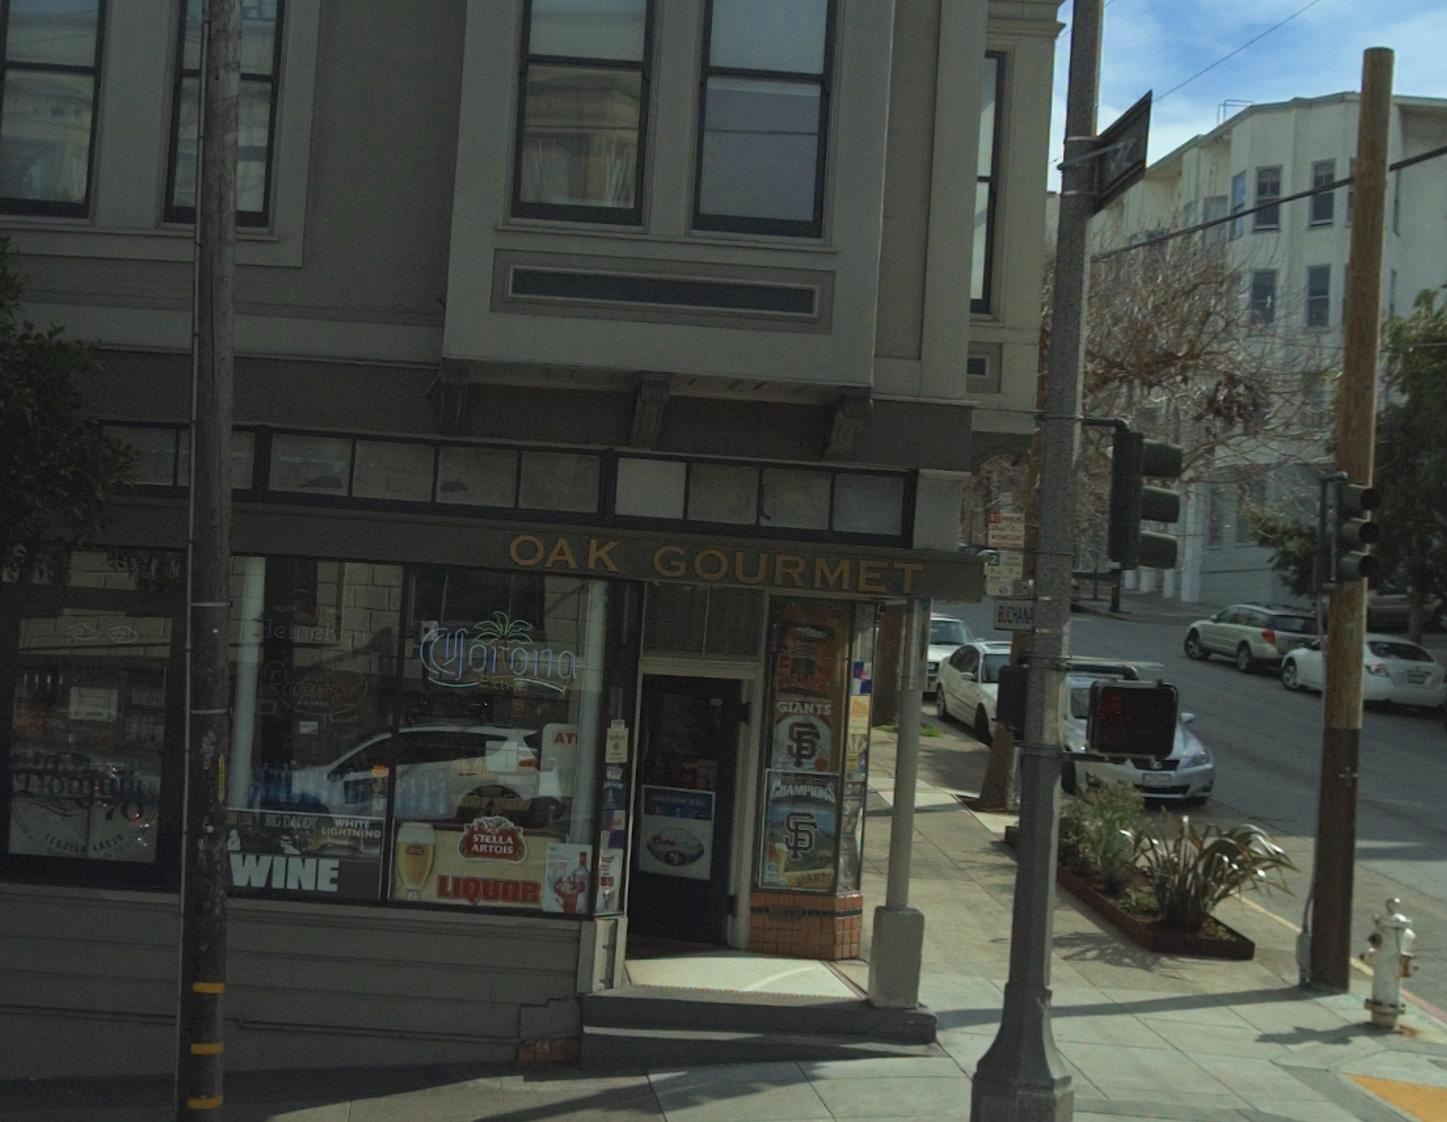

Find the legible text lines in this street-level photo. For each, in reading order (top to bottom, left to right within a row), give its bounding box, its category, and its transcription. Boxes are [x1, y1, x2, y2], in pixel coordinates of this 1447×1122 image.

[508, 531, 926, 598] BusinessName: OAK GOUMET
[987, 552, 1000, 567] None: 2
[994, 602, 1030, 628] None: BUCHAN
[272, 619, 340, 645] None: e*nek
[416, 624, 582, 686] None: *orona
[773, 697, 835, 718] None: GIANTS
[550, 729, 578, 747] None: AT
[14, 763, 70, 800] None: Do
[96, 796, 147, 824] None: 70
[262, 811, 322, 832] None: B*G D**DY
[319, 822, 383, 841] None: LIGHTNING
[330, 817, 373, 830] None: WHITE]
[467, 841, 516, 857] None: ARTOIS
[469, 831, 517, 847] None: STELLA
[227, 851, 341, 894] None: WINE
[433, 869, 546, 909] None: LIQUOR